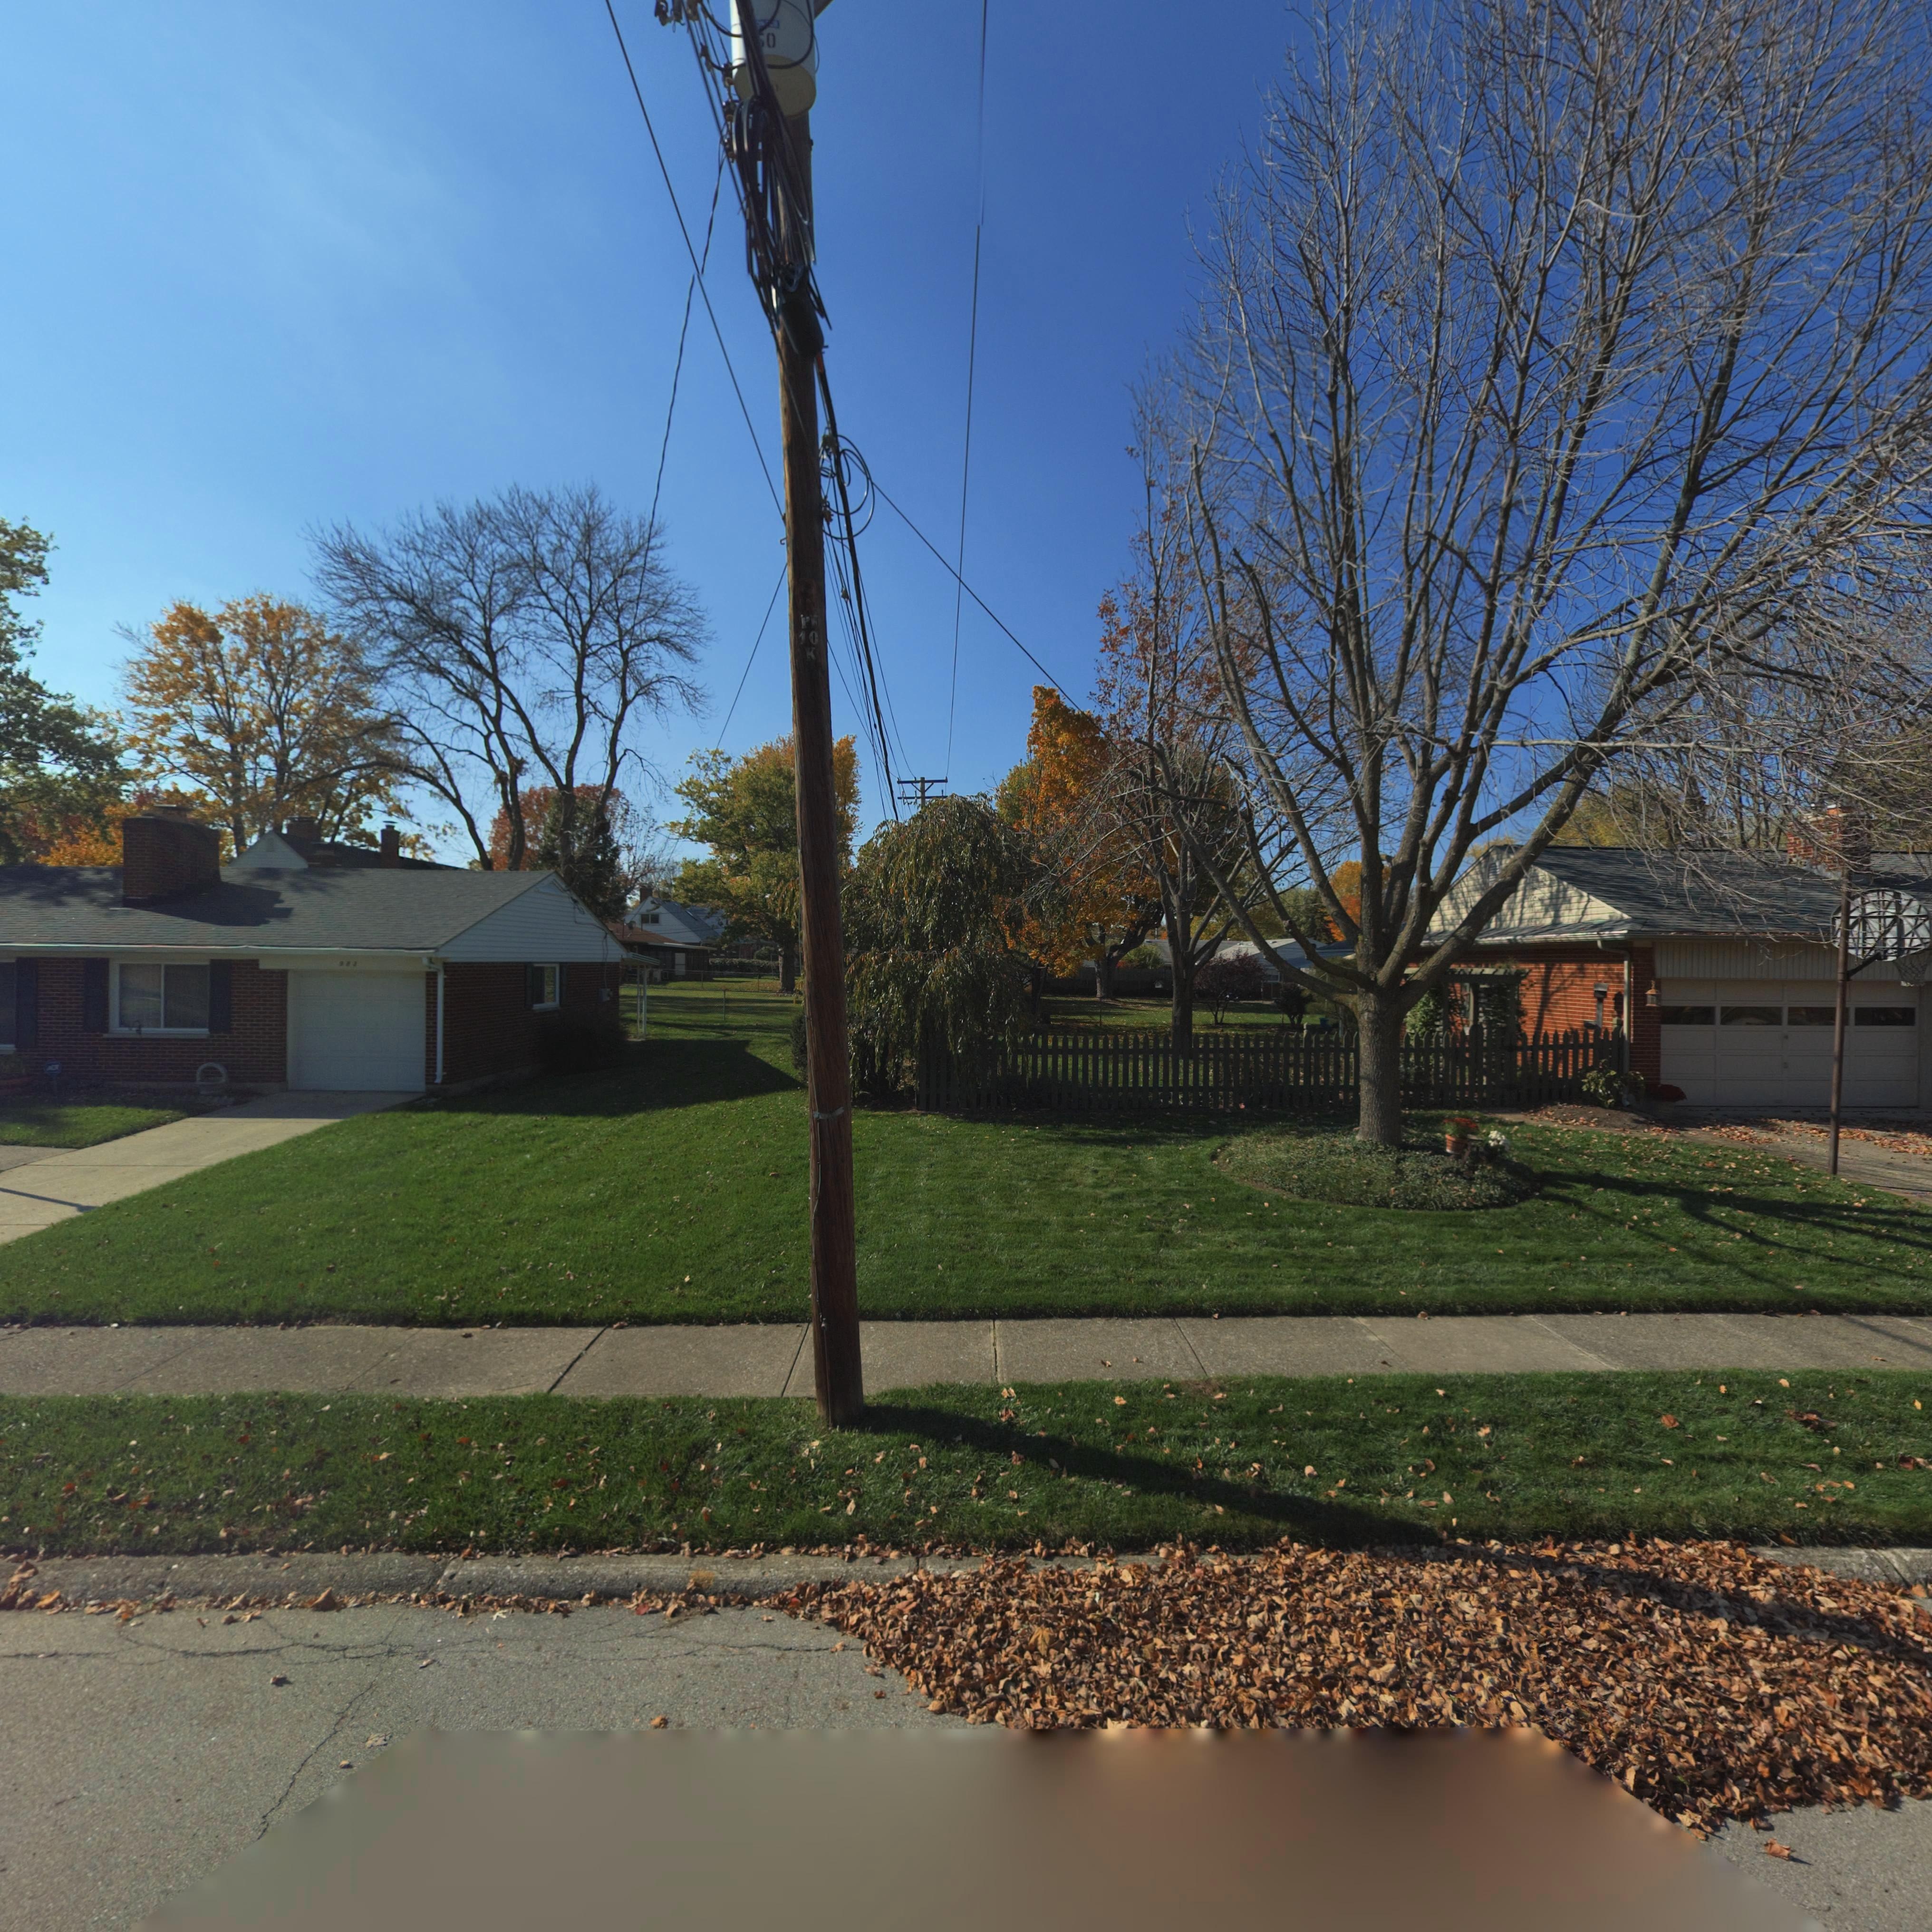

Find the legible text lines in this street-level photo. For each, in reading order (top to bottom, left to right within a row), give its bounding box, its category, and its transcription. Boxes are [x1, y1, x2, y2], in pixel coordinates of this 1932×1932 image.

[338, 960, 358, 967] StreetNumber: 9*3